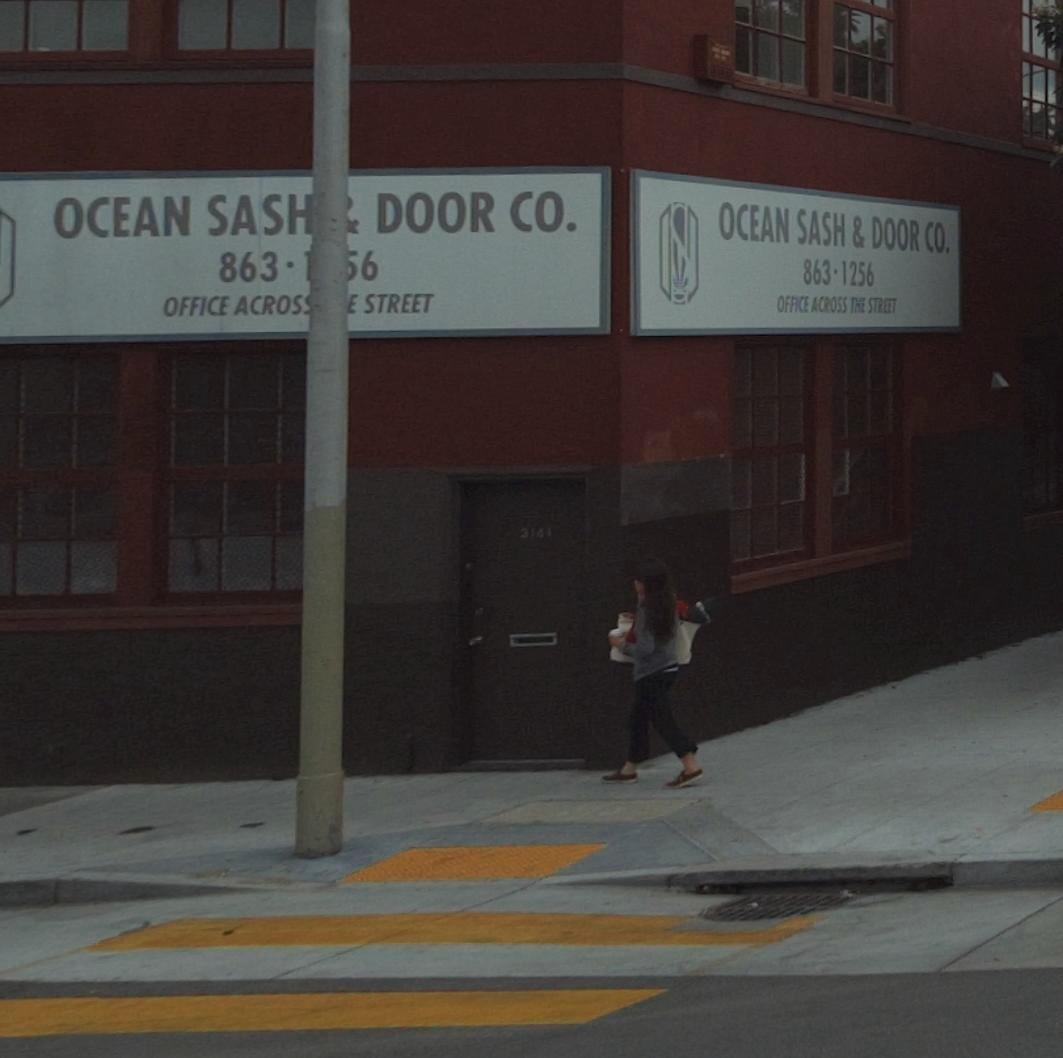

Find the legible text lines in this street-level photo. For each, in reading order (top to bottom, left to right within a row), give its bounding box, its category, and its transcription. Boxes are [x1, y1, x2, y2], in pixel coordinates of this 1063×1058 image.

[52, 189, 582, 242] BusinessName: OCEAN SASH * DOOR CO.
[718, 200, 952, 255] BusinessName: OCEAN SASH & DOOR CO.
[215, 248, 383, 284] None: 863-***6
[802, 257, 876, 288] None: 863-1256
[160, 292, 436, 318] None: OFFICE ACROS* **E STREET
[775, 293, 898, 314] None: OFFICE ACROSS THE STREET
[519, 525, 553, 540] StreetNumber: 3141